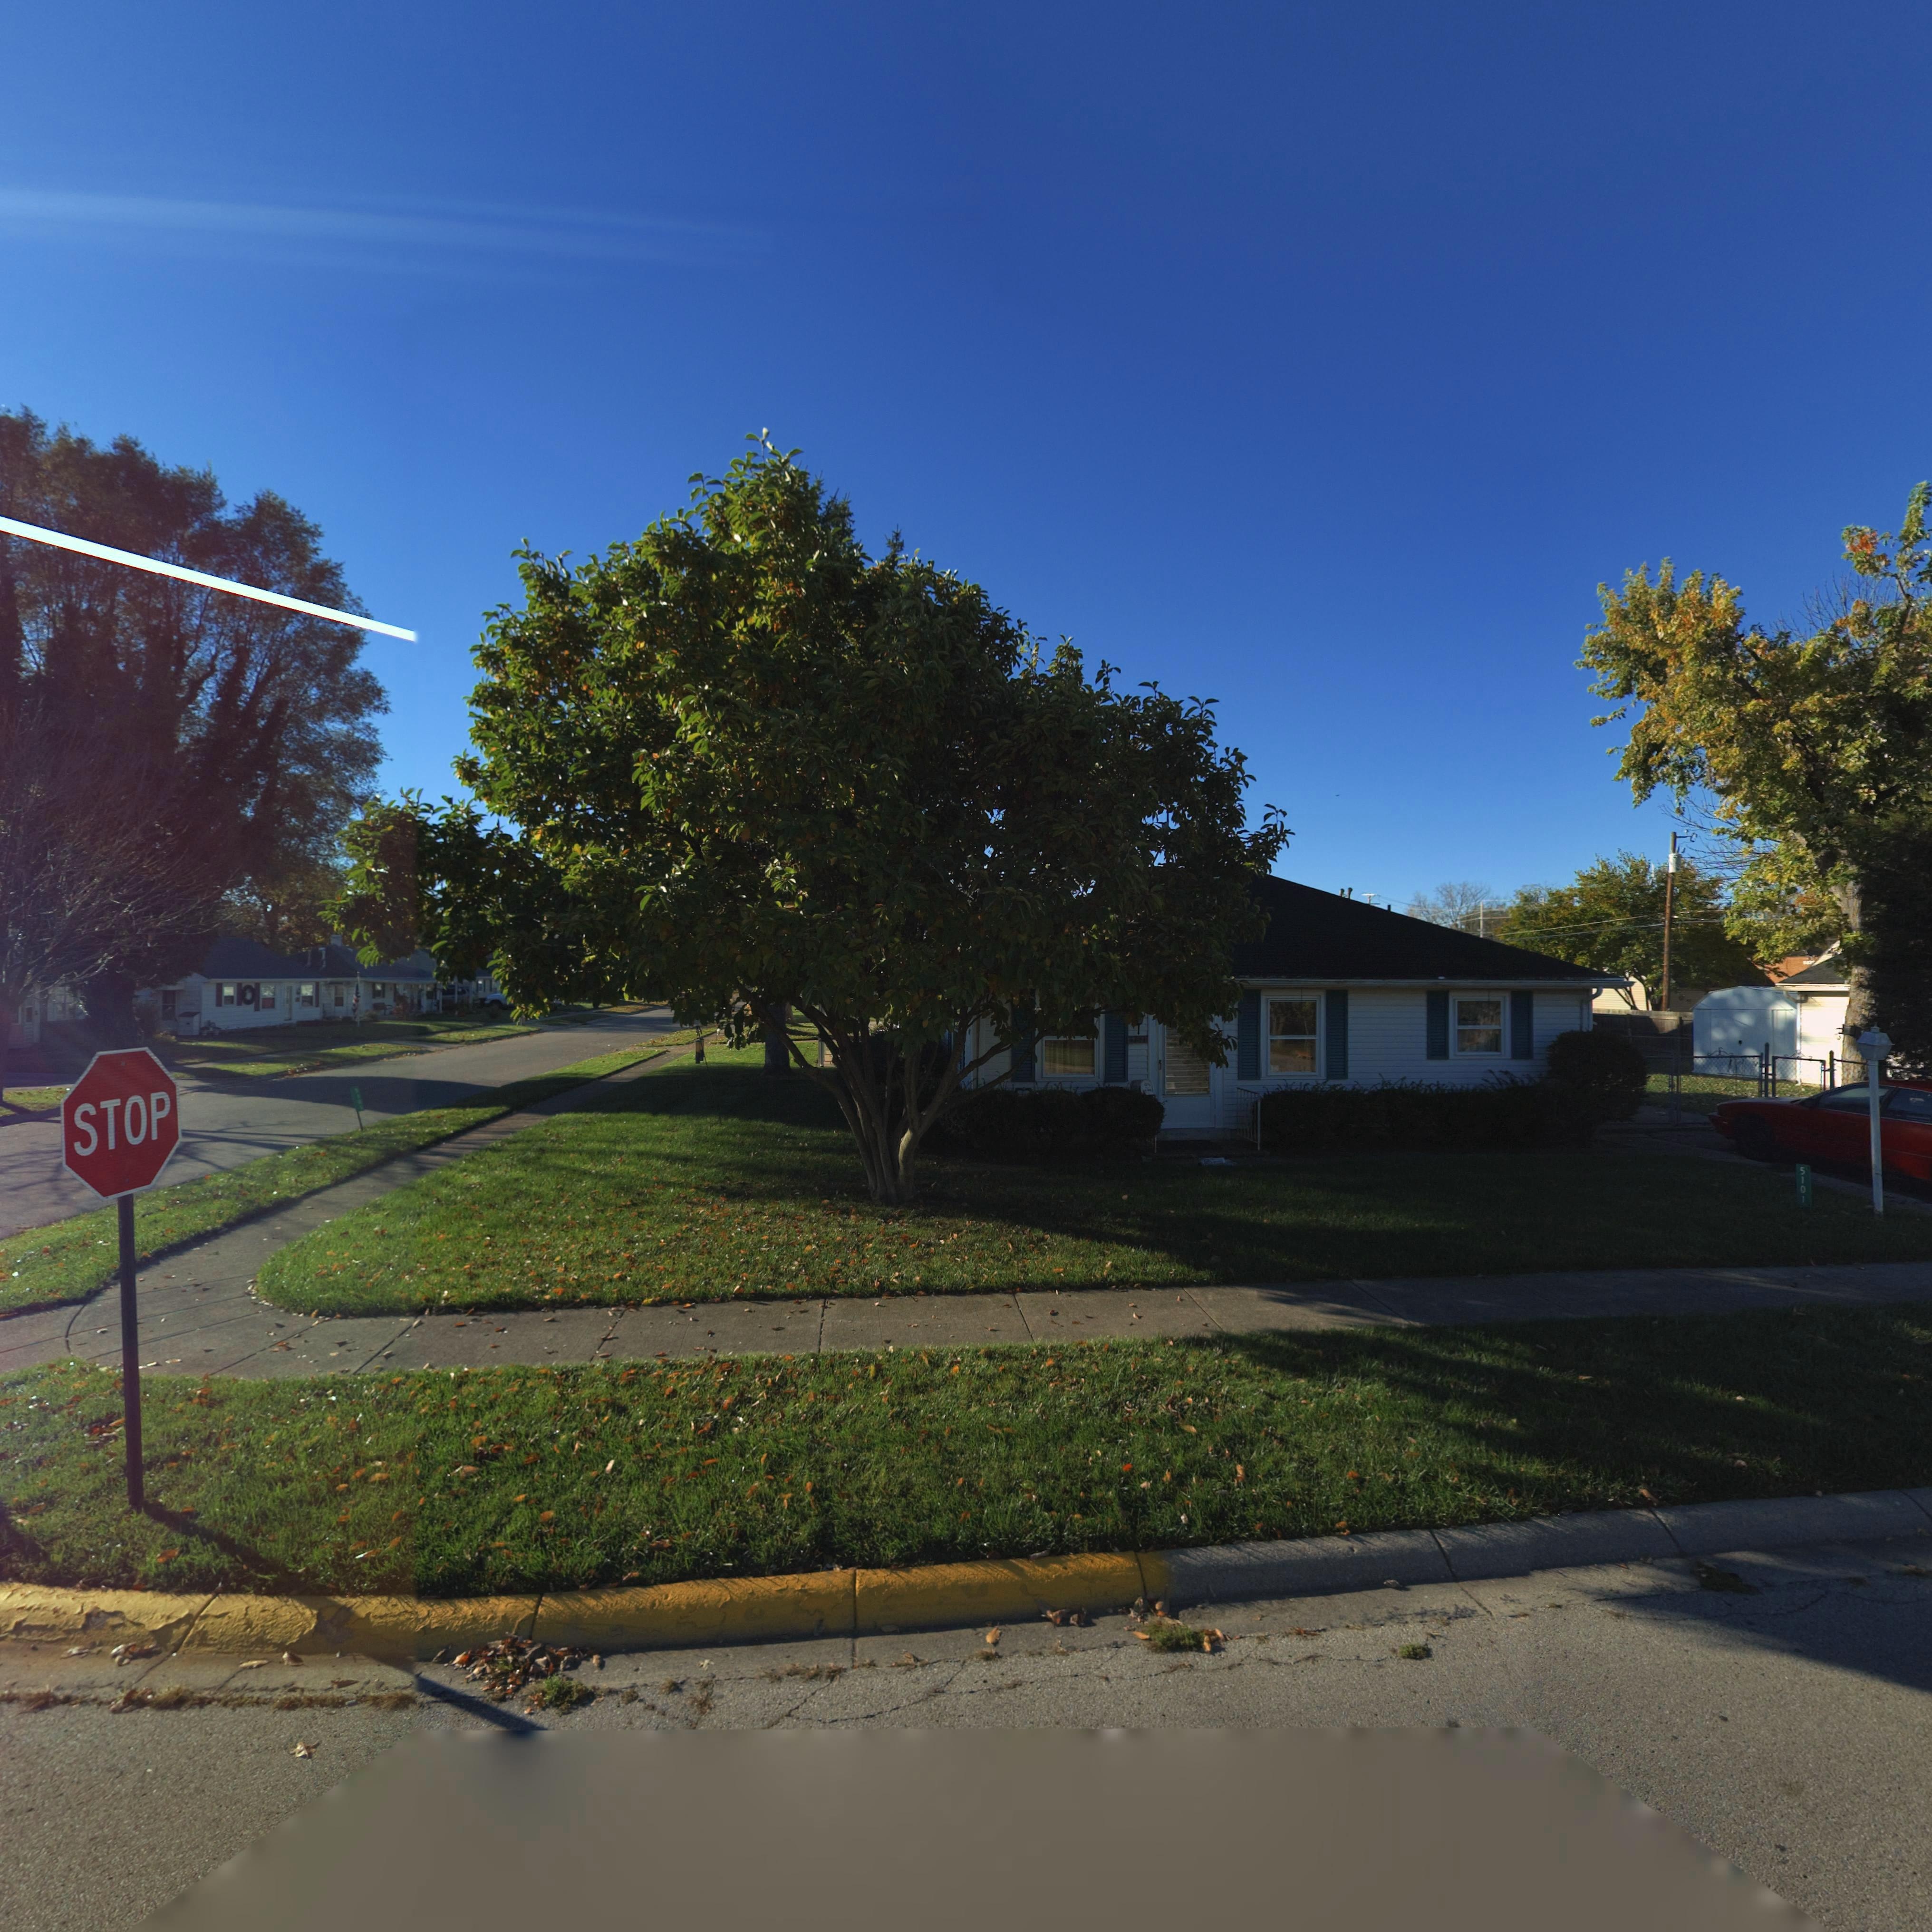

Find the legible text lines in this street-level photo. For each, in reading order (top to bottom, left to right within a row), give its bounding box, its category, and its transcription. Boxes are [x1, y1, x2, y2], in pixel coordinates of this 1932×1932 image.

[1128, 1035, 1146, 1043] StreetNumber: 5101
[354, 1087, 365, 1111] StreetNumber: 5101
[1799, 1166, 1806, 1203] StreetNumber: 5101